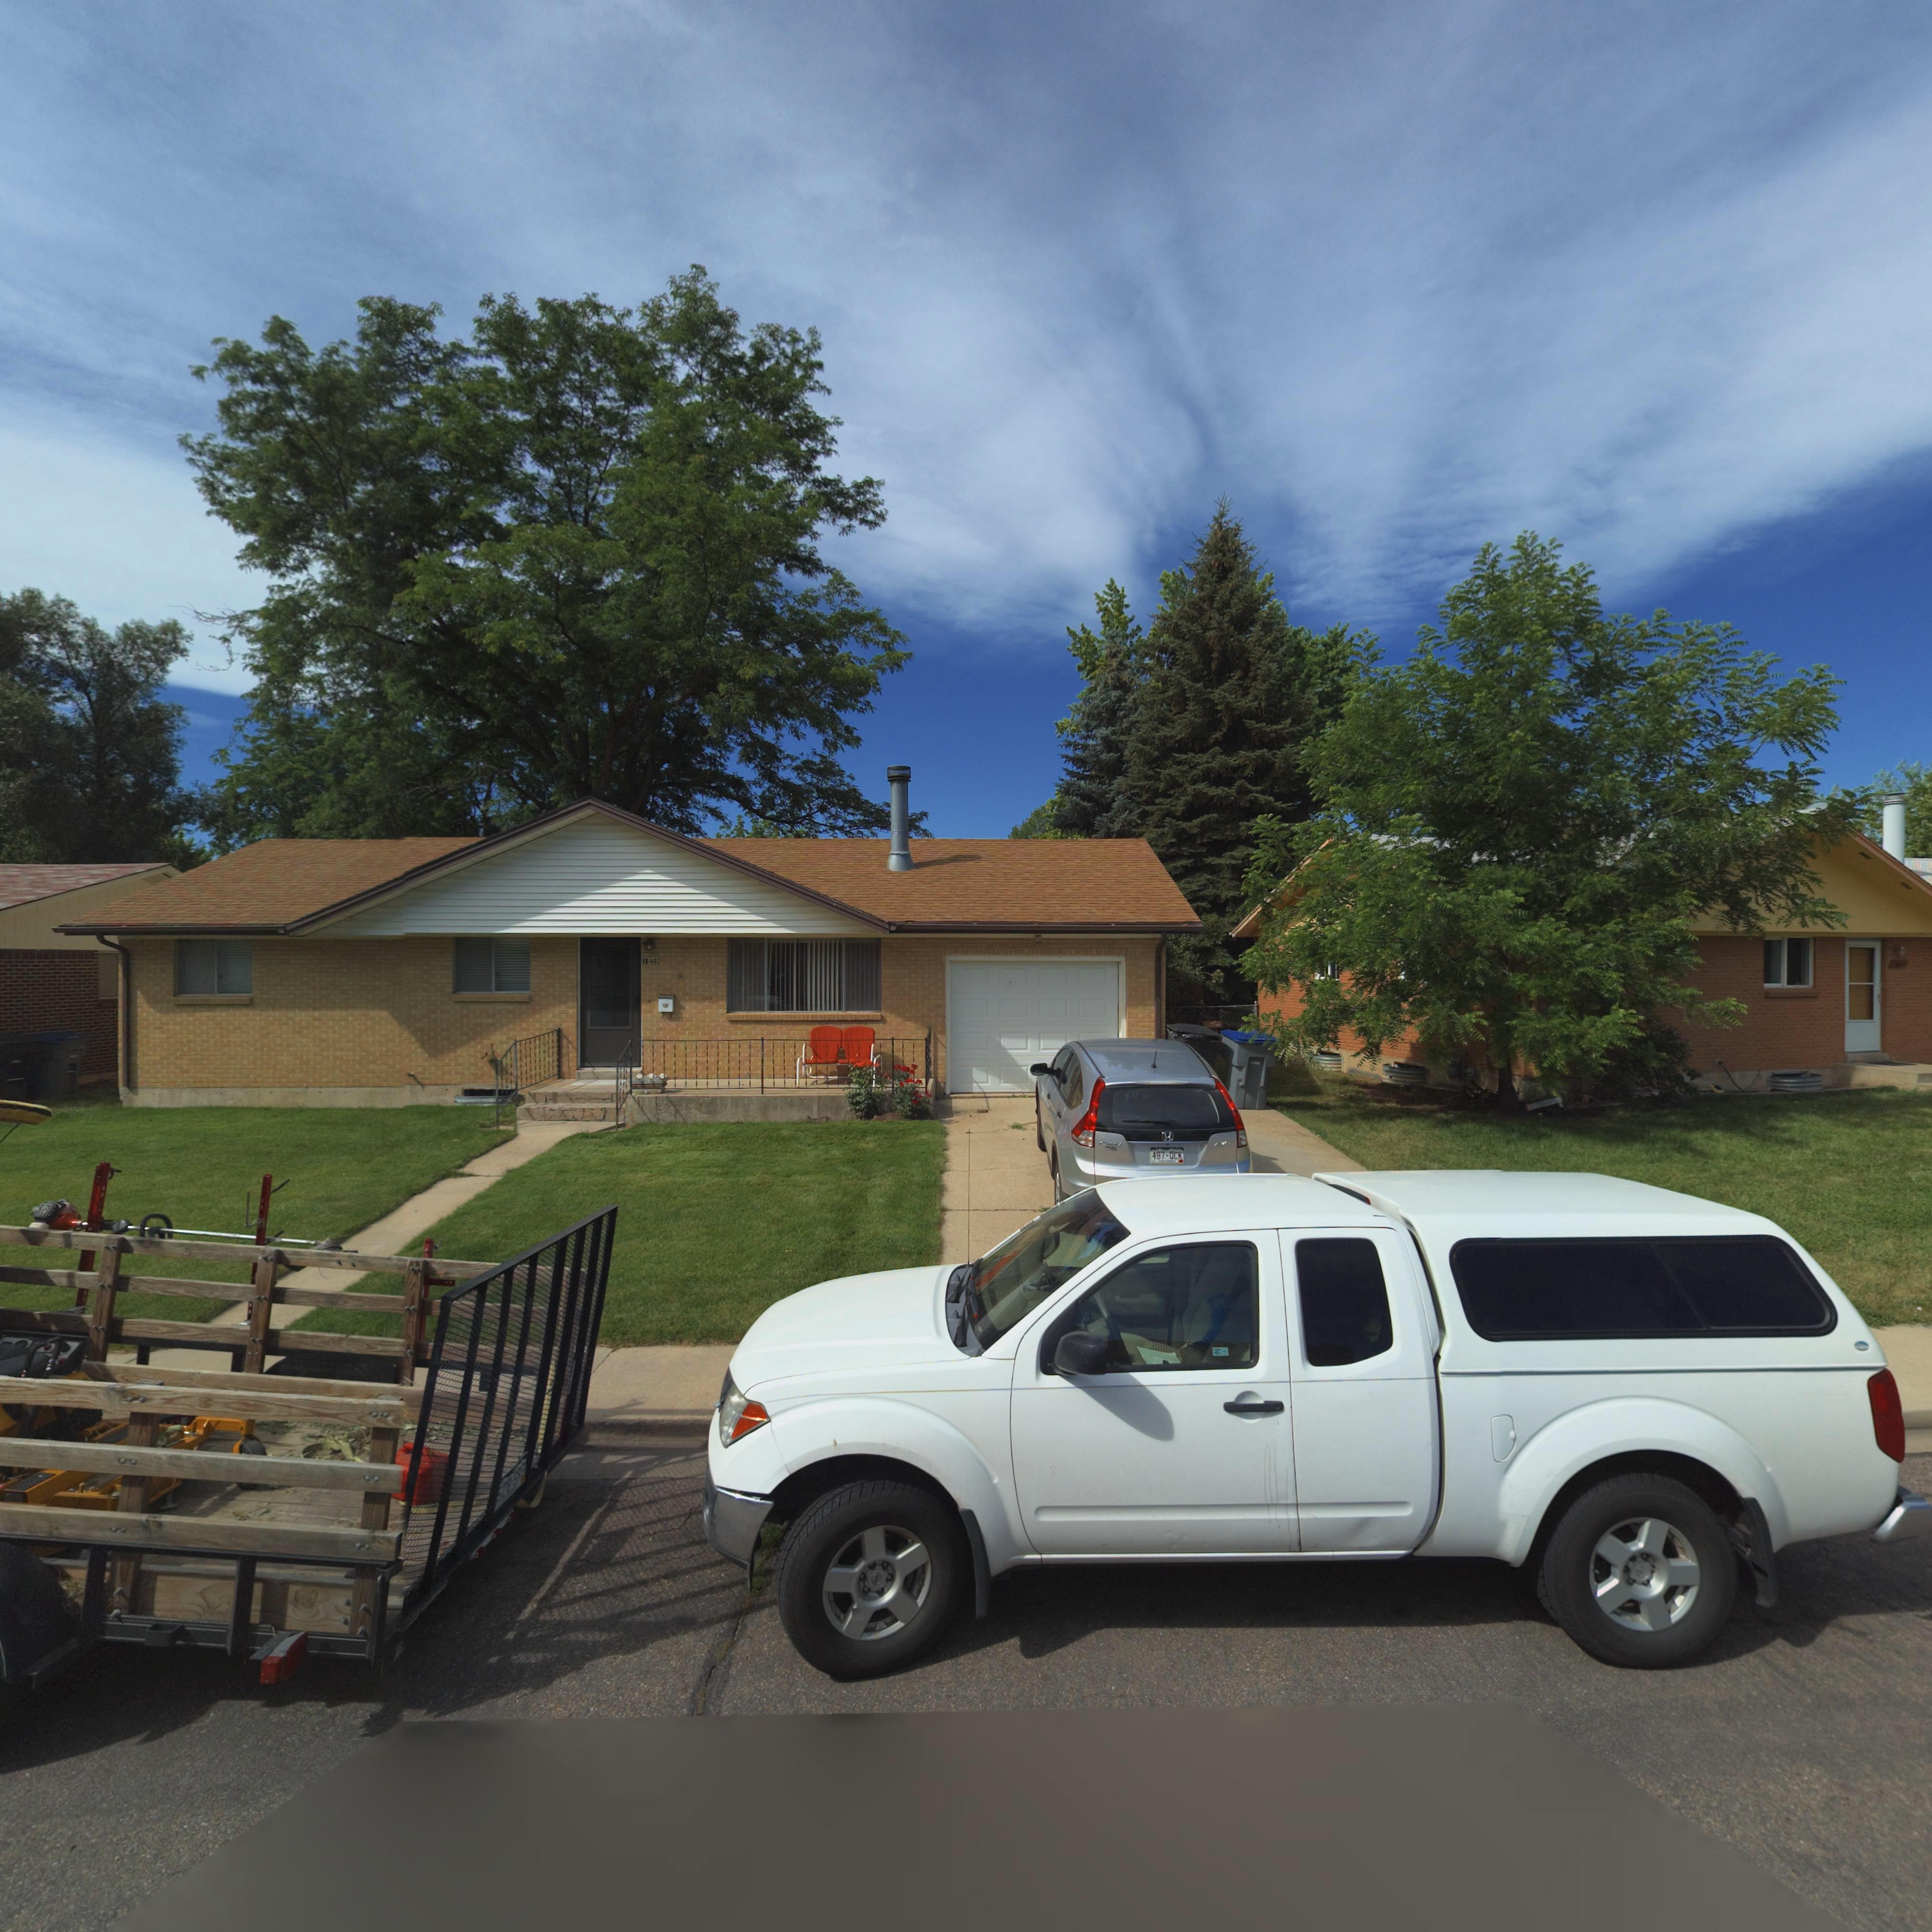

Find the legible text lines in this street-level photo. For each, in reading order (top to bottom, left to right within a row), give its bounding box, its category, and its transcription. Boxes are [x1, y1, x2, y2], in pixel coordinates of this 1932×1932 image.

[643, 958, 659, 964] StreetNumber: 1859